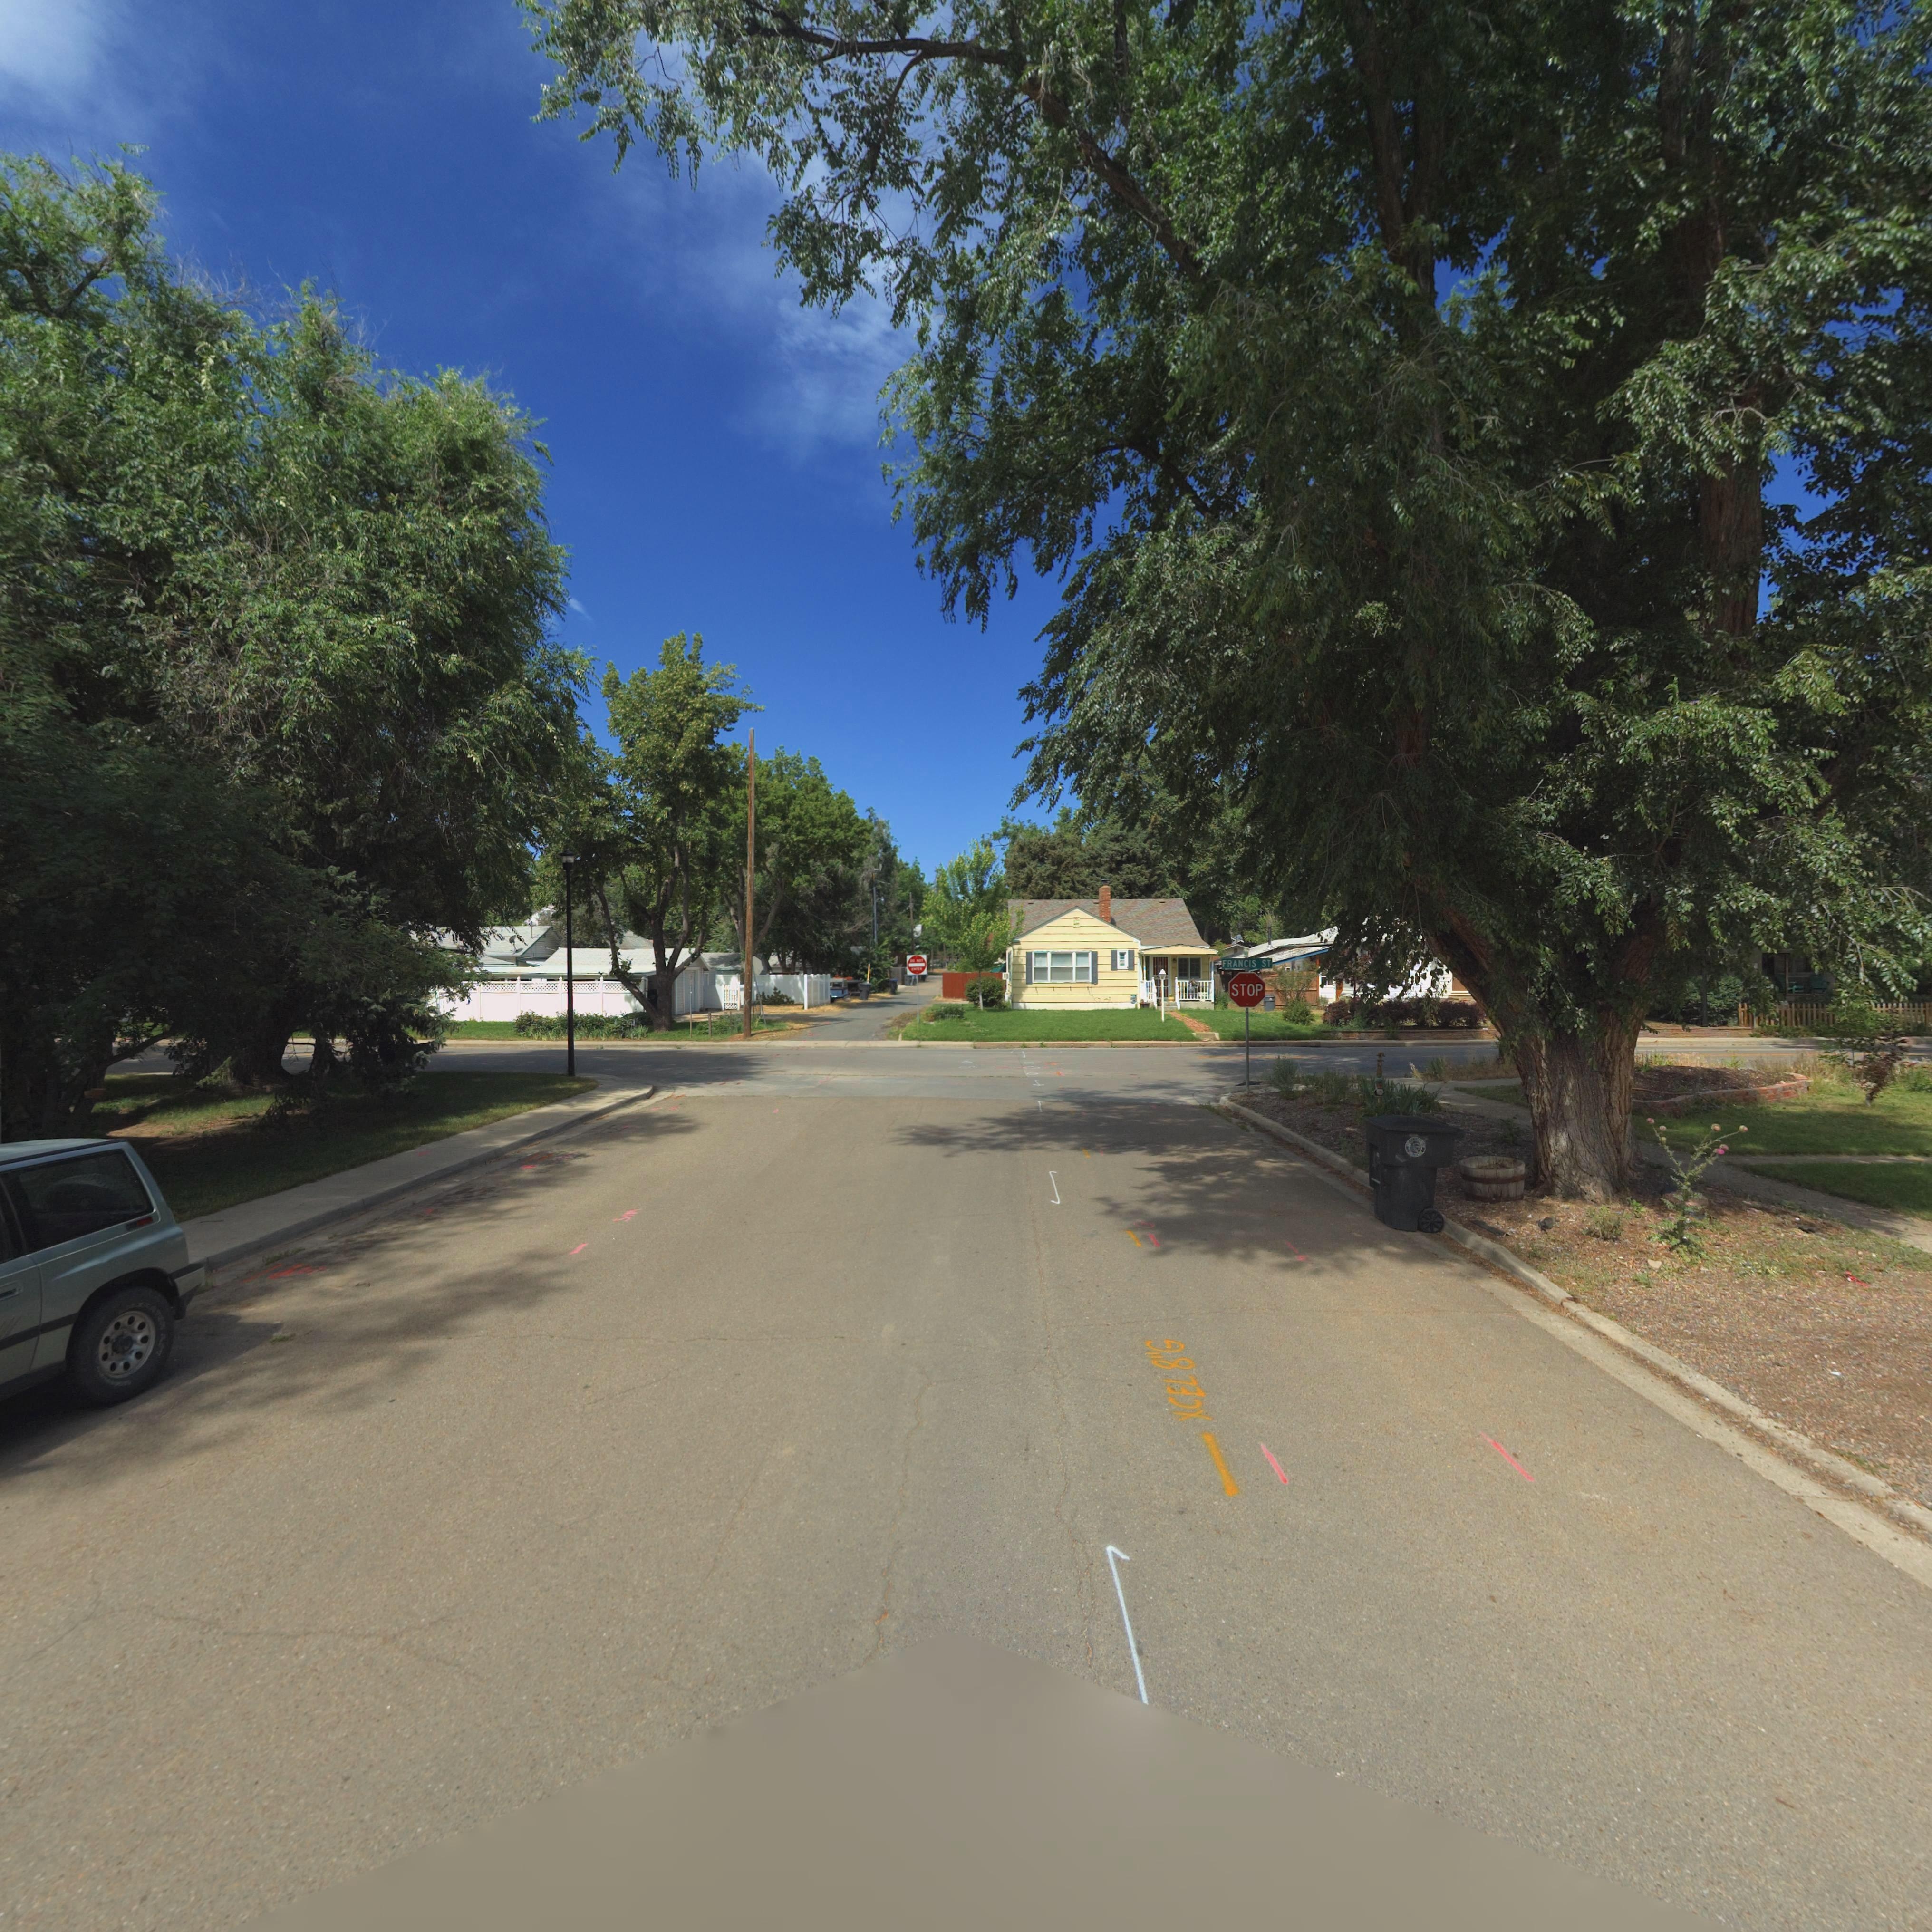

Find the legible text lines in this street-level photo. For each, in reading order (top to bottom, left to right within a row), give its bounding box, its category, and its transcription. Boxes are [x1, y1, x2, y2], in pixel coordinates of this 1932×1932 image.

[1222, 959, 1271, 967] StreetName: FRANCIS ST